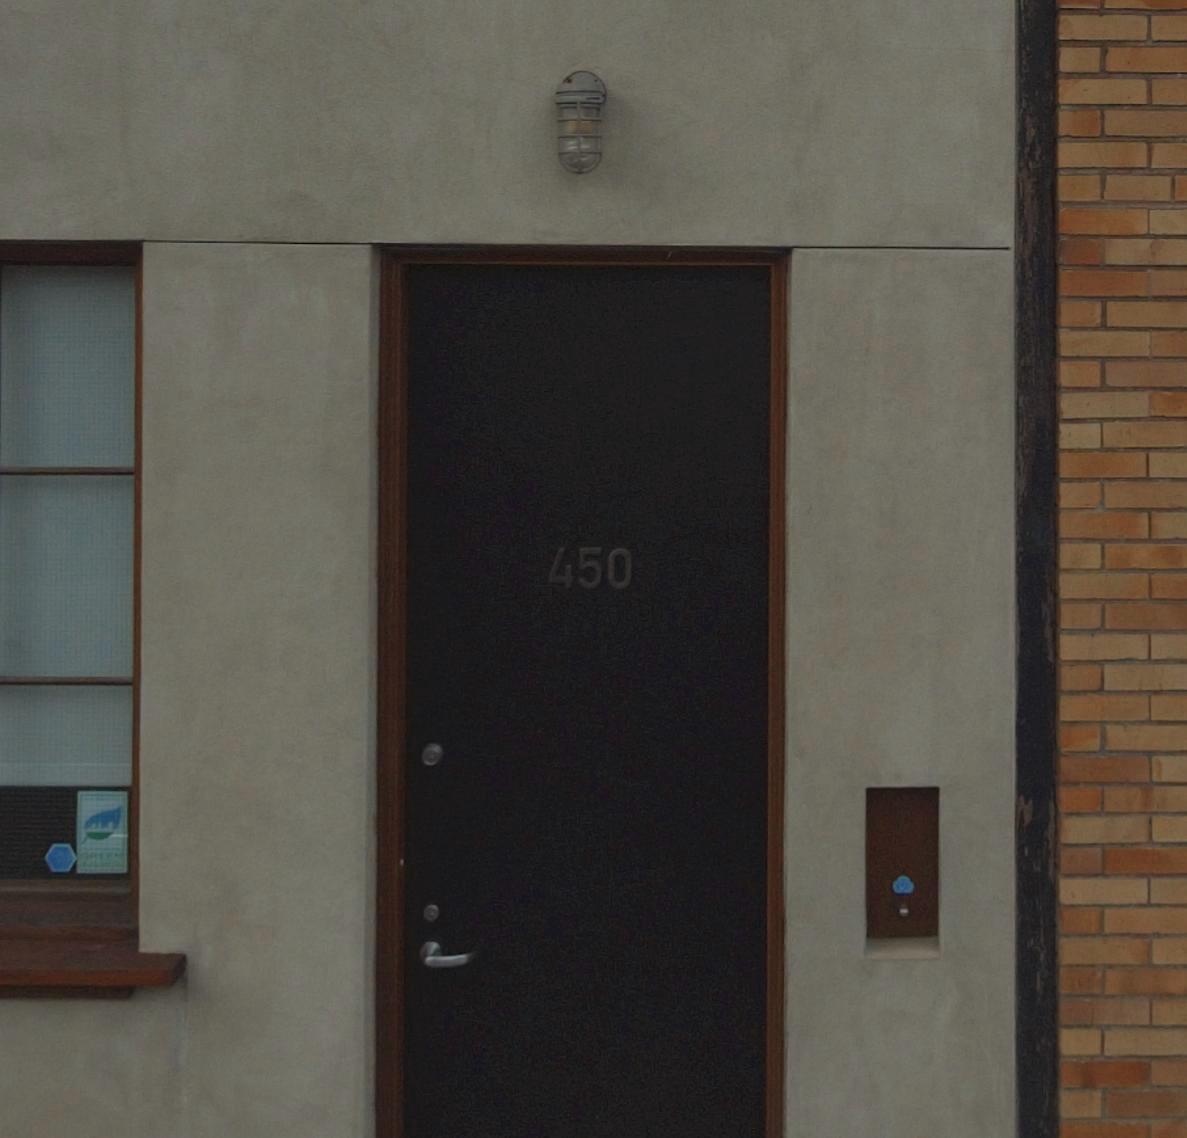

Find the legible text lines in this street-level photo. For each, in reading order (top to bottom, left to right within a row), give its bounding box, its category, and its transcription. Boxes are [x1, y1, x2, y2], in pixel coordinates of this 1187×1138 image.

[544, 544, 635, 592] StreetNumber: 450